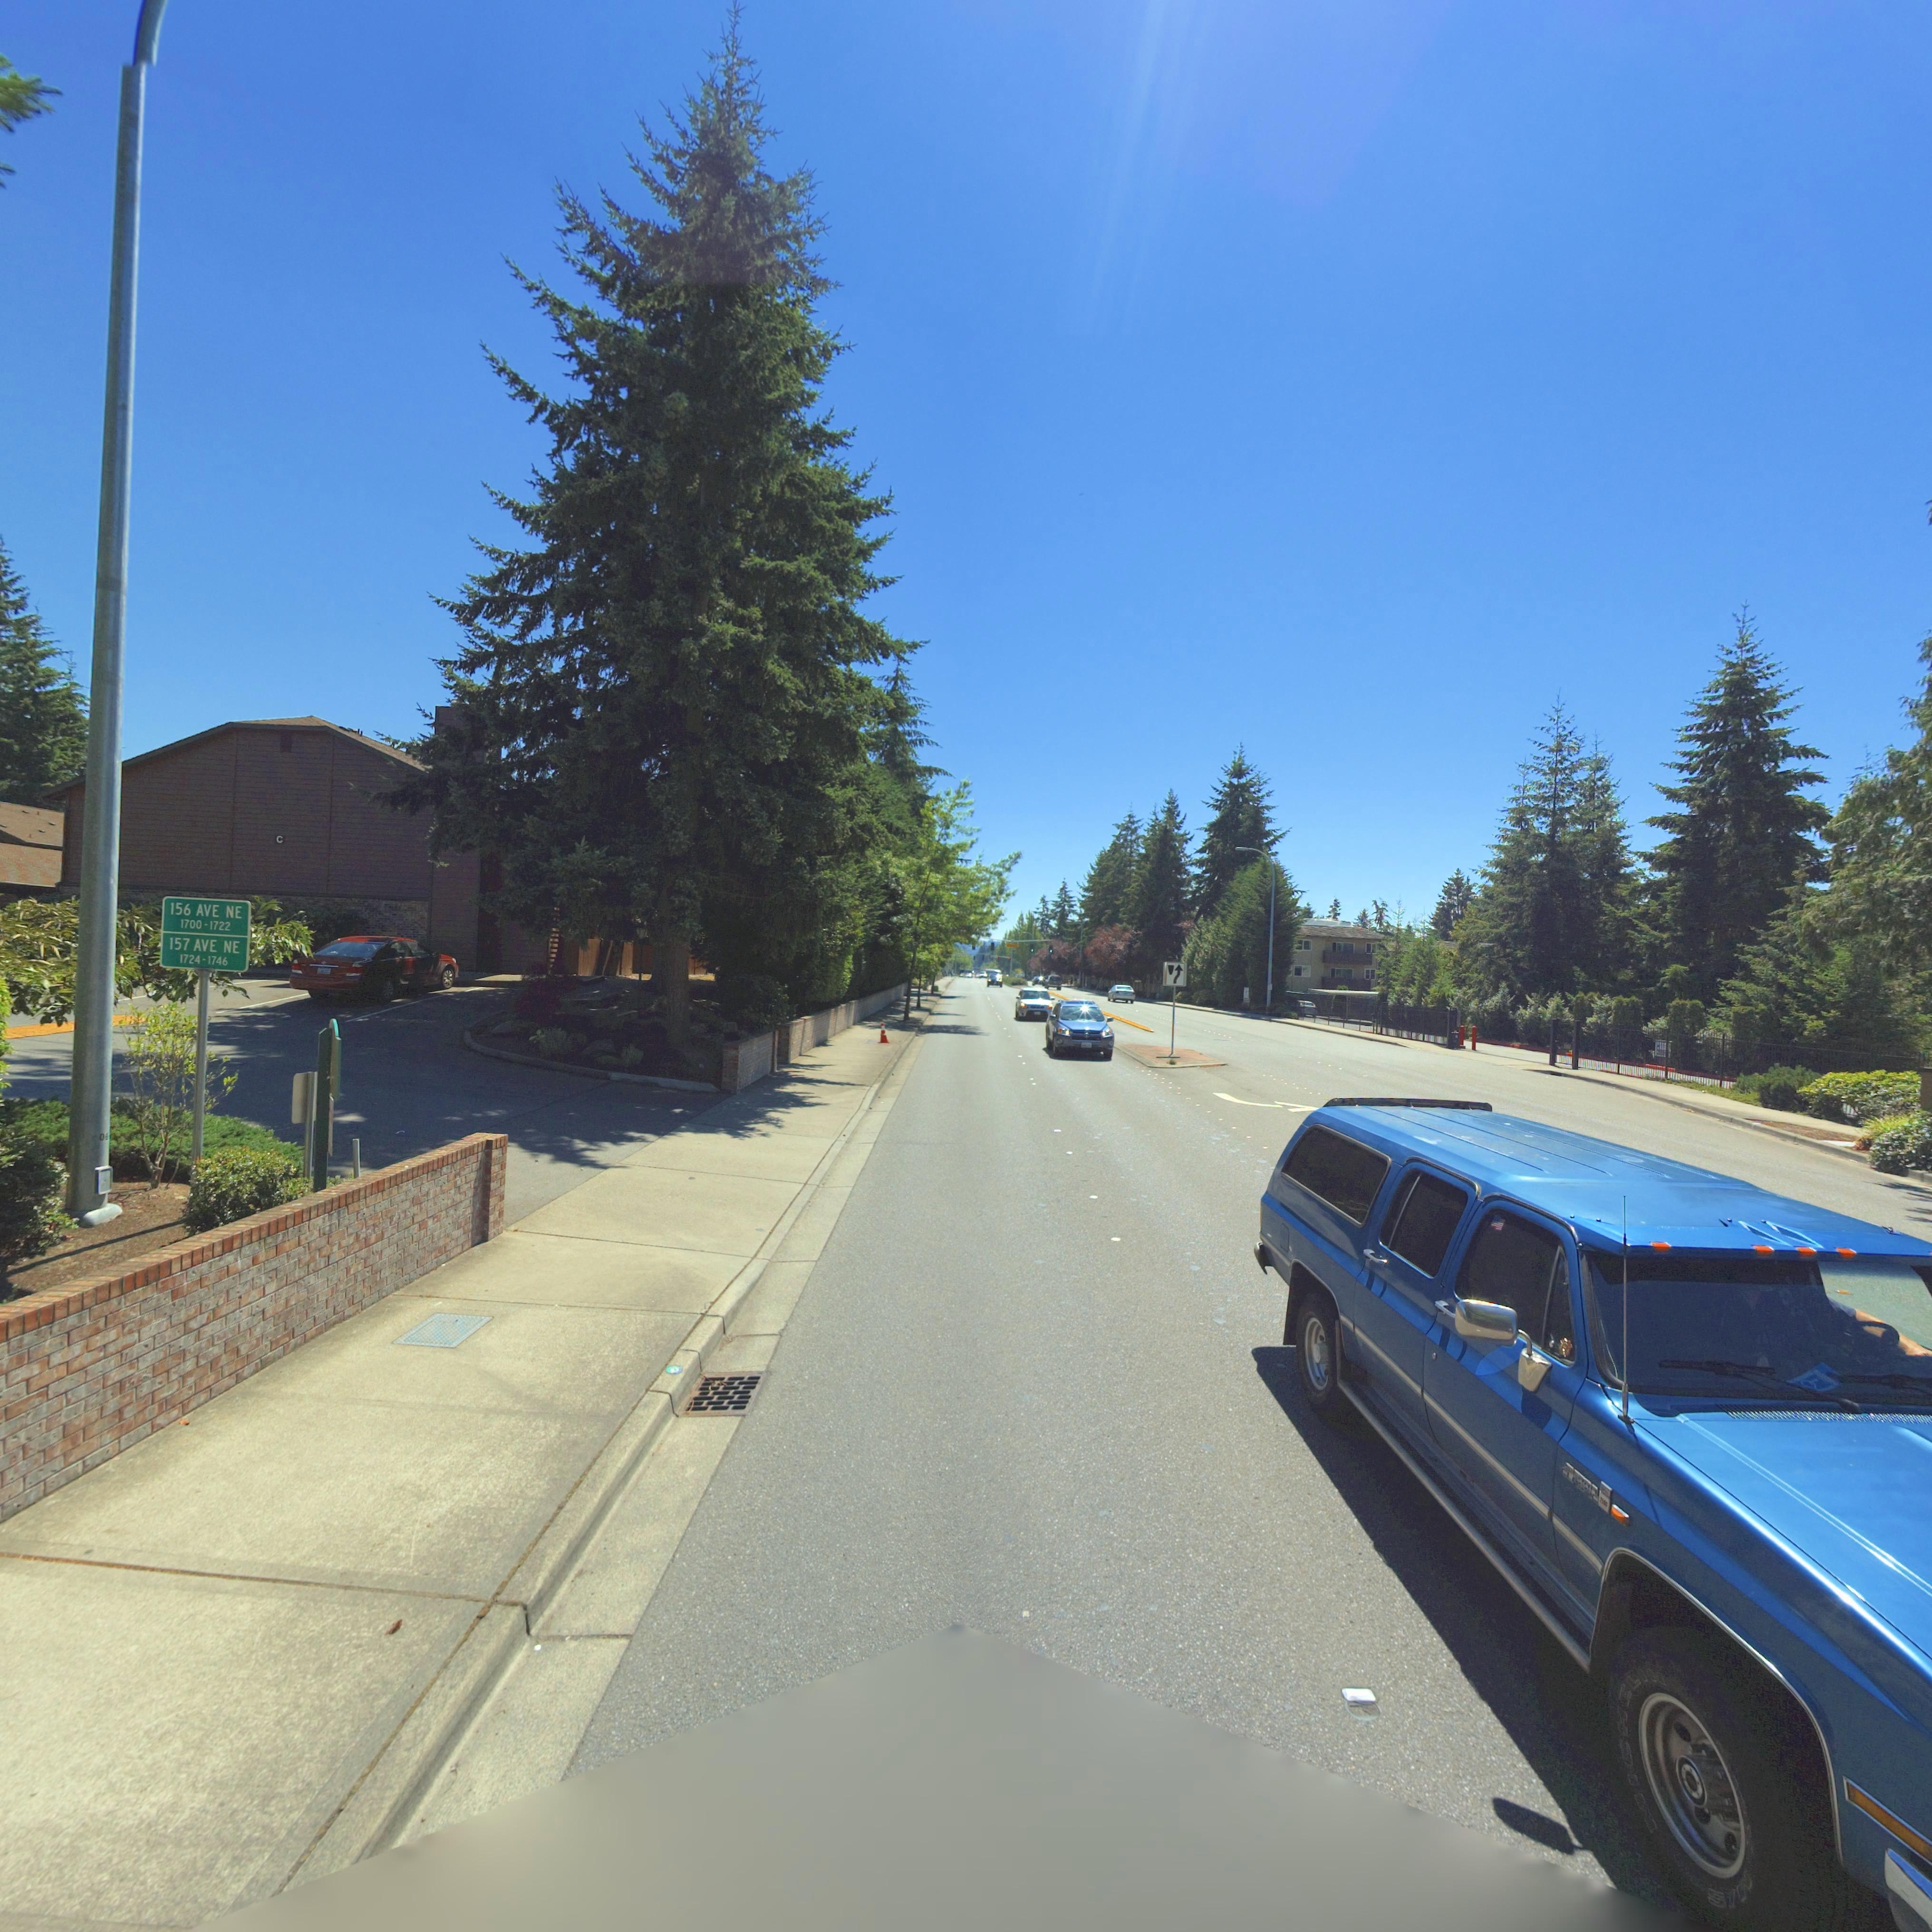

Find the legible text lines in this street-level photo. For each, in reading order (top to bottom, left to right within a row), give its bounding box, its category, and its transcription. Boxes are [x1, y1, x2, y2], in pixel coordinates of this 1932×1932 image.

[169, 899, 245, 920] StreetName: 156 AVE NE
[179, 918, 233, 933] StreetNumberRange: 1700-1722
[167, 936, 242, 956] StreetName: 157 AVE NE
[177, 952, 230, 967] StreetNumberRange: 1724-1746